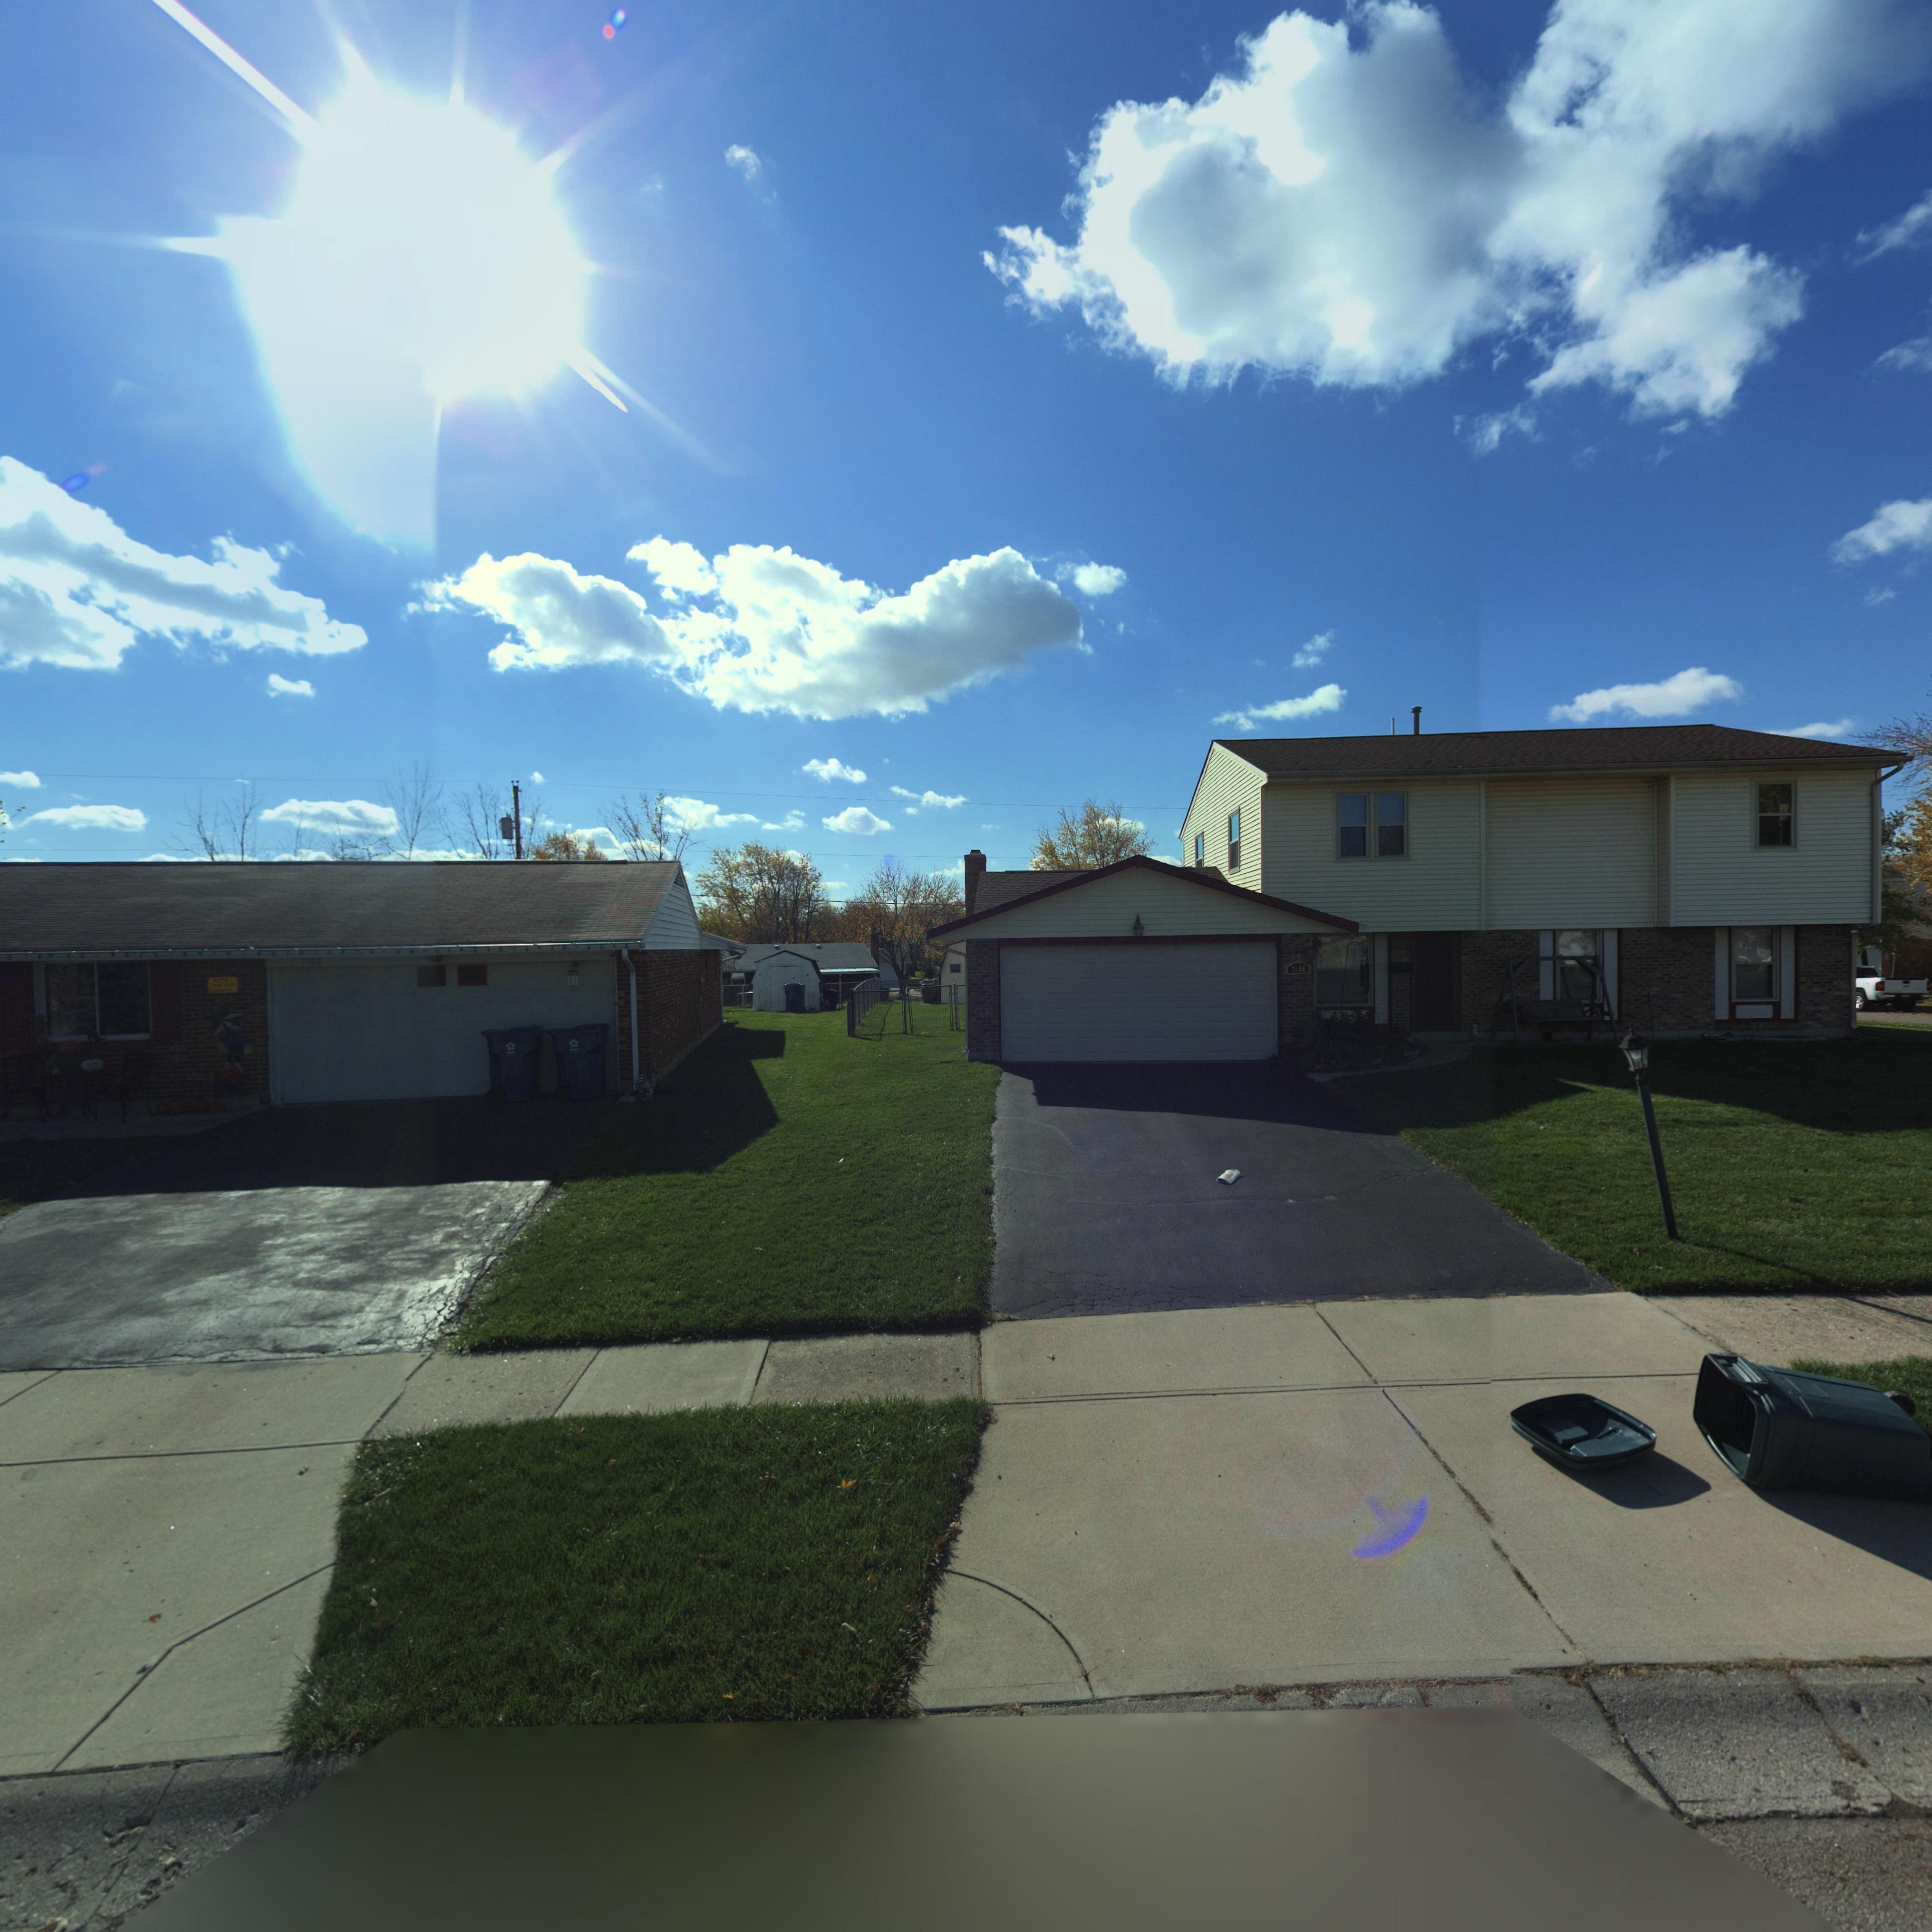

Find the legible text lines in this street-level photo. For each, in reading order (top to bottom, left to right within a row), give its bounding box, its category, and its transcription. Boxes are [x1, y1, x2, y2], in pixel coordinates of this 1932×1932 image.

[299, 956, 322, 967] StreetNumber: **0*
[1291, 965, 1307, 974] StreetNumber: 7*00